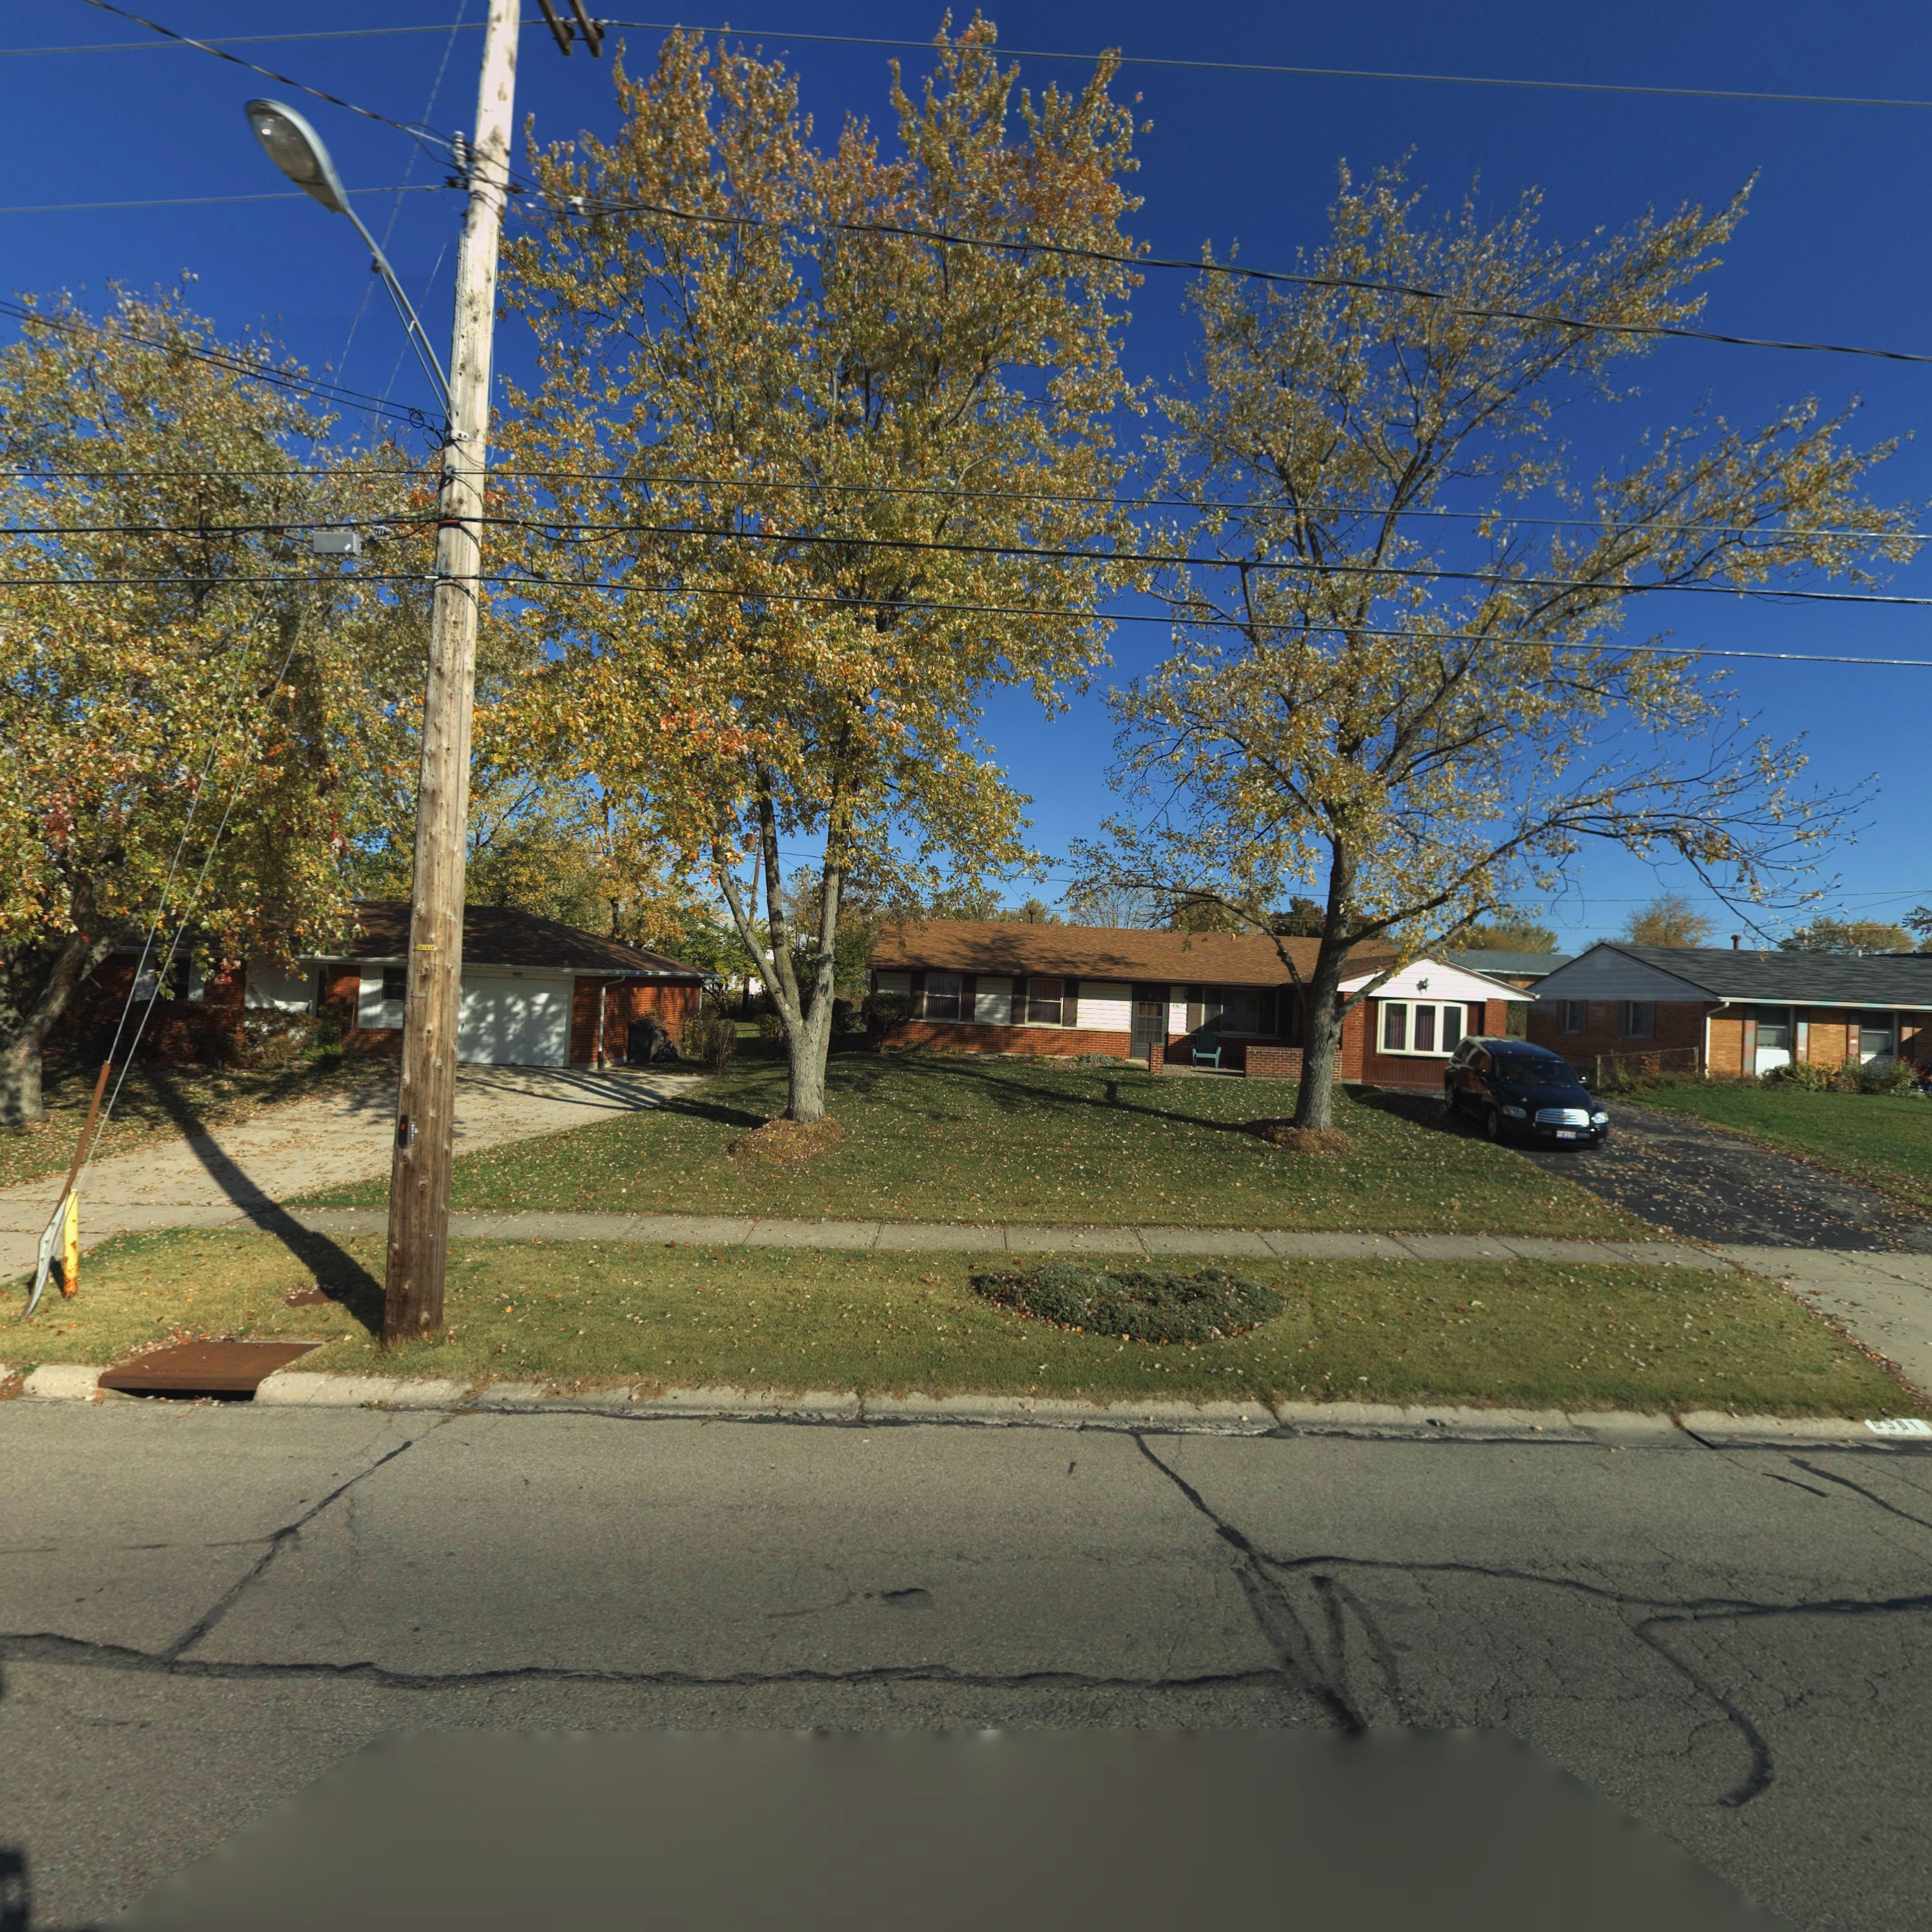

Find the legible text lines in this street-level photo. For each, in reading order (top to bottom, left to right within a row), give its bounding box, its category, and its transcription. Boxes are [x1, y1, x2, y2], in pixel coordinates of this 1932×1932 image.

[1870, 1418, 1922, 1431] StreetNumber: 6501